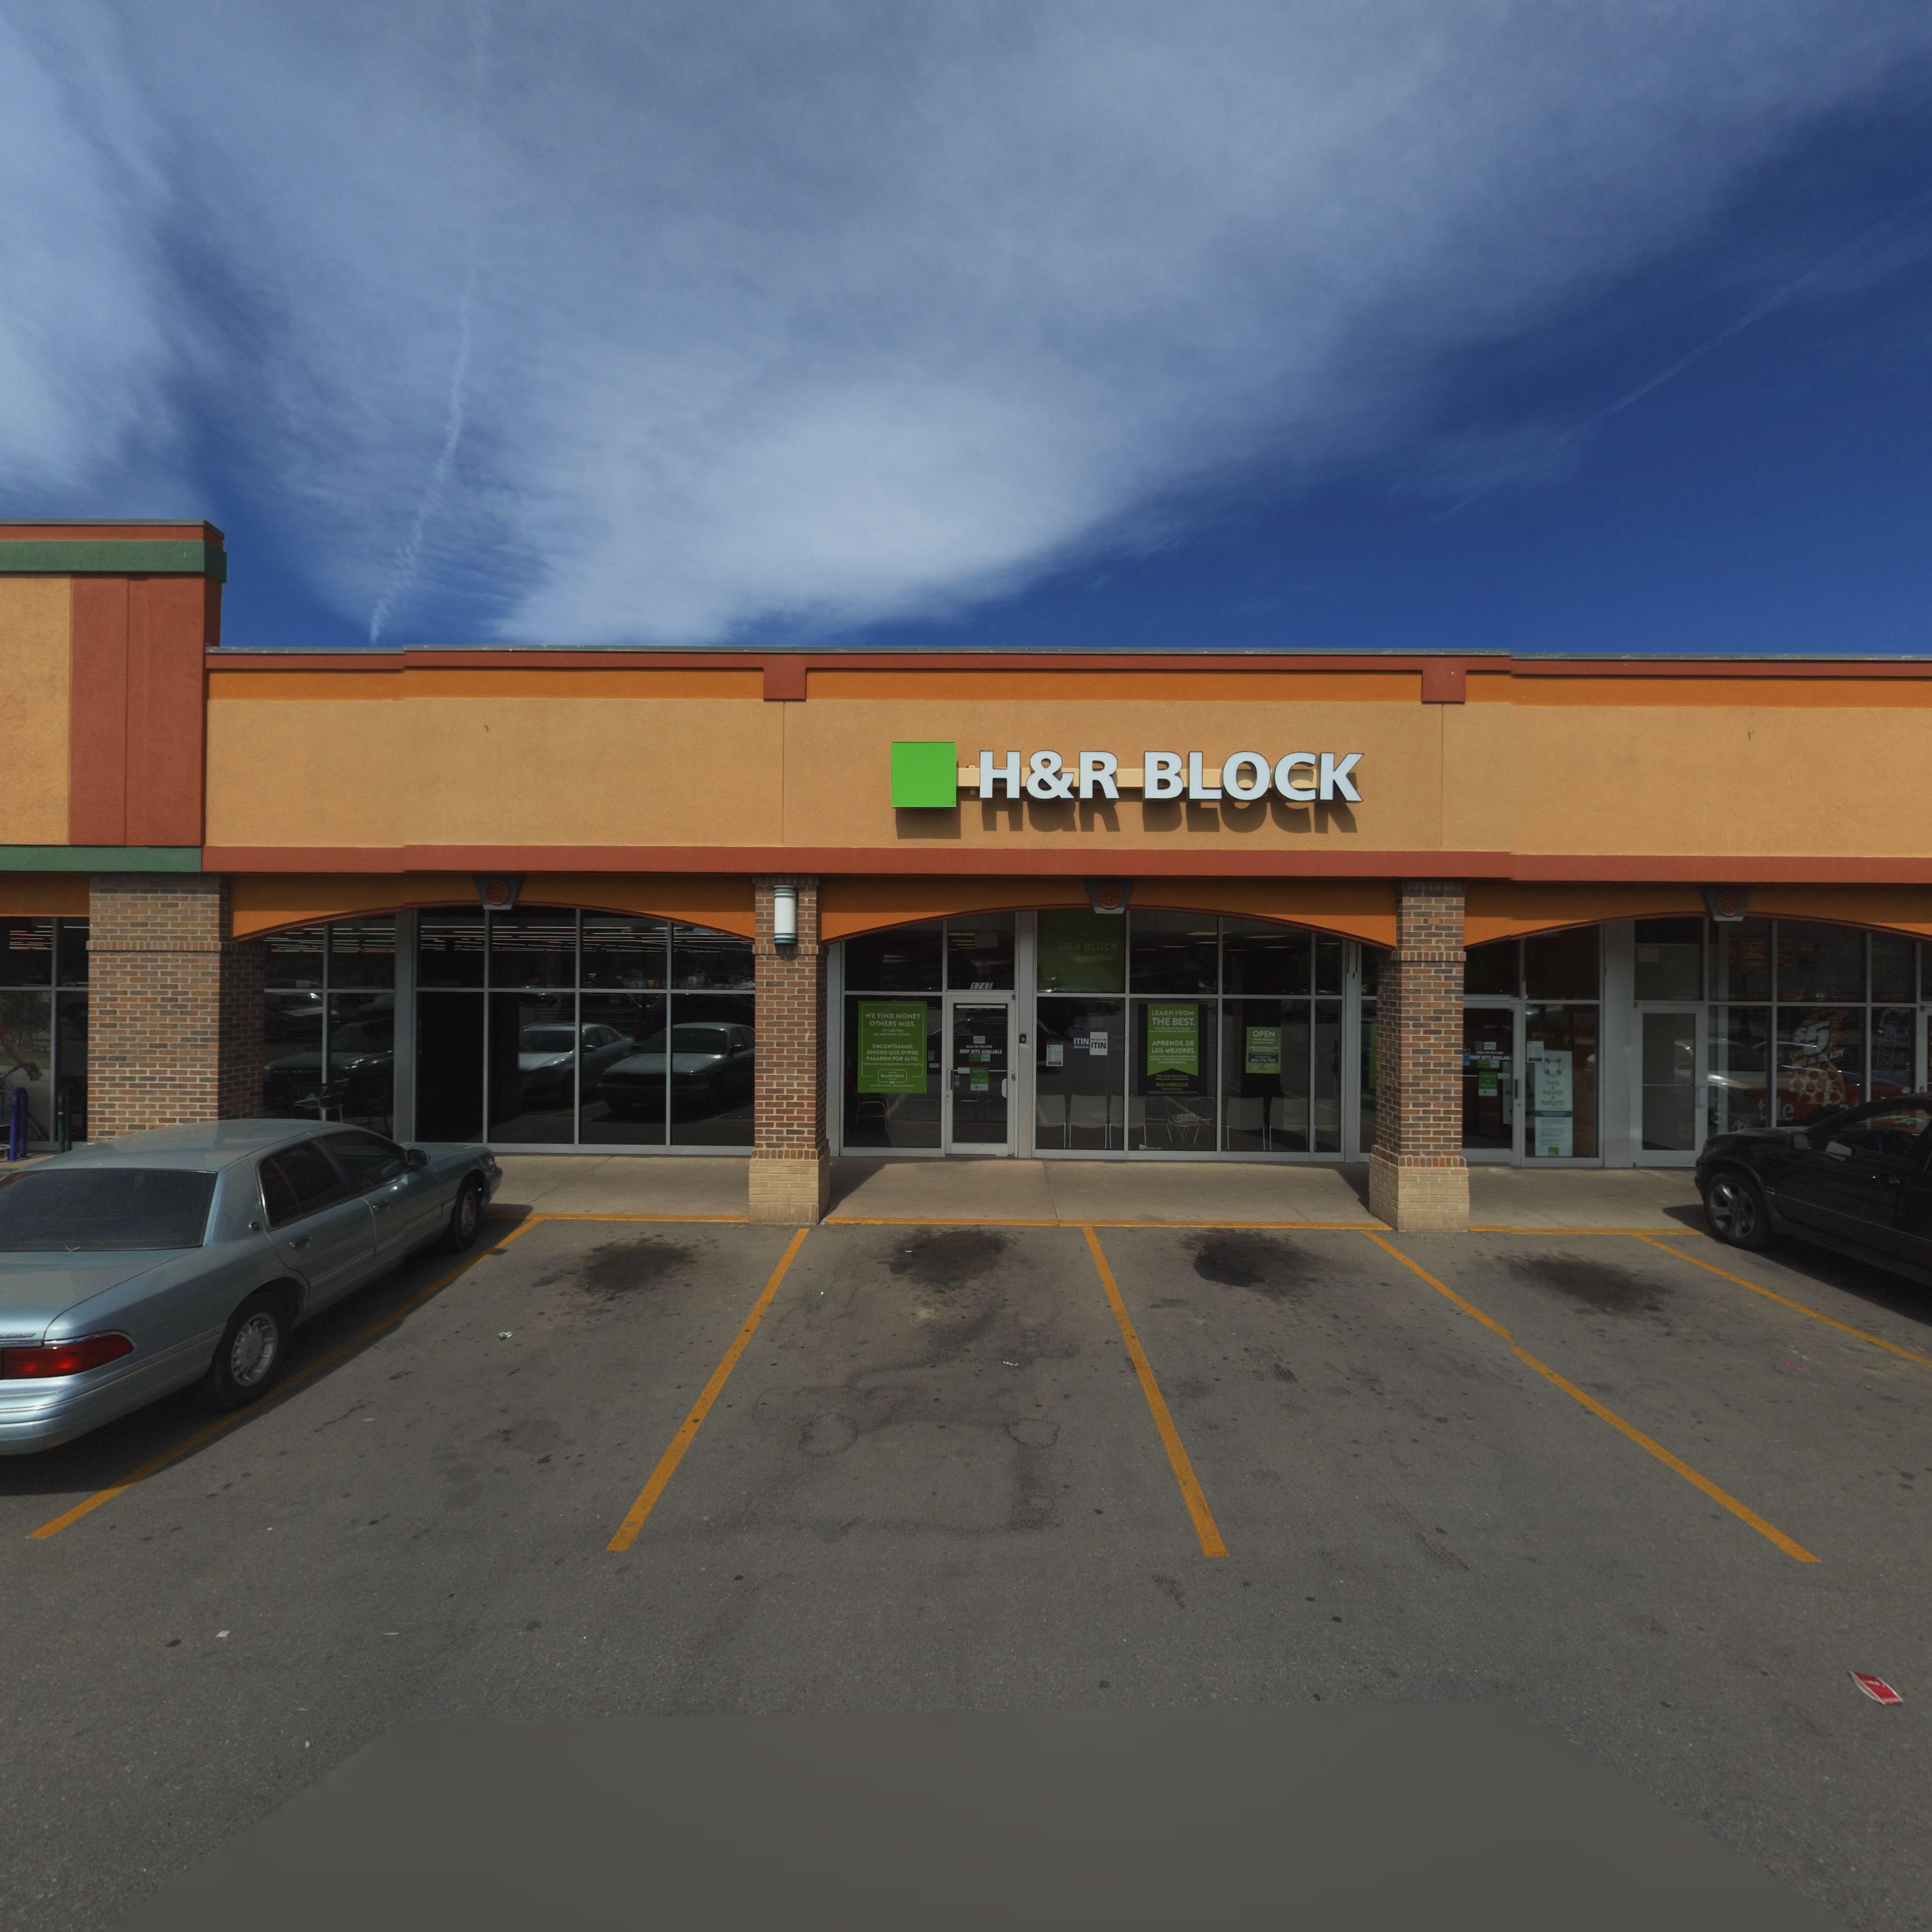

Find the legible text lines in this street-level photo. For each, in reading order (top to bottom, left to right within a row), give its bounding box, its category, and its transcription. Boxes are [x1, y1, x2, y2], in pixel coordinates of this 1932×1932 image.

[980, 751, 1362, 800] BusinessName: H&R BLOCK
[1058, 942, 1119, 951] BusinessName: H&R BLOCK
[972, 983, 992, 989] StreetNumber: 1745